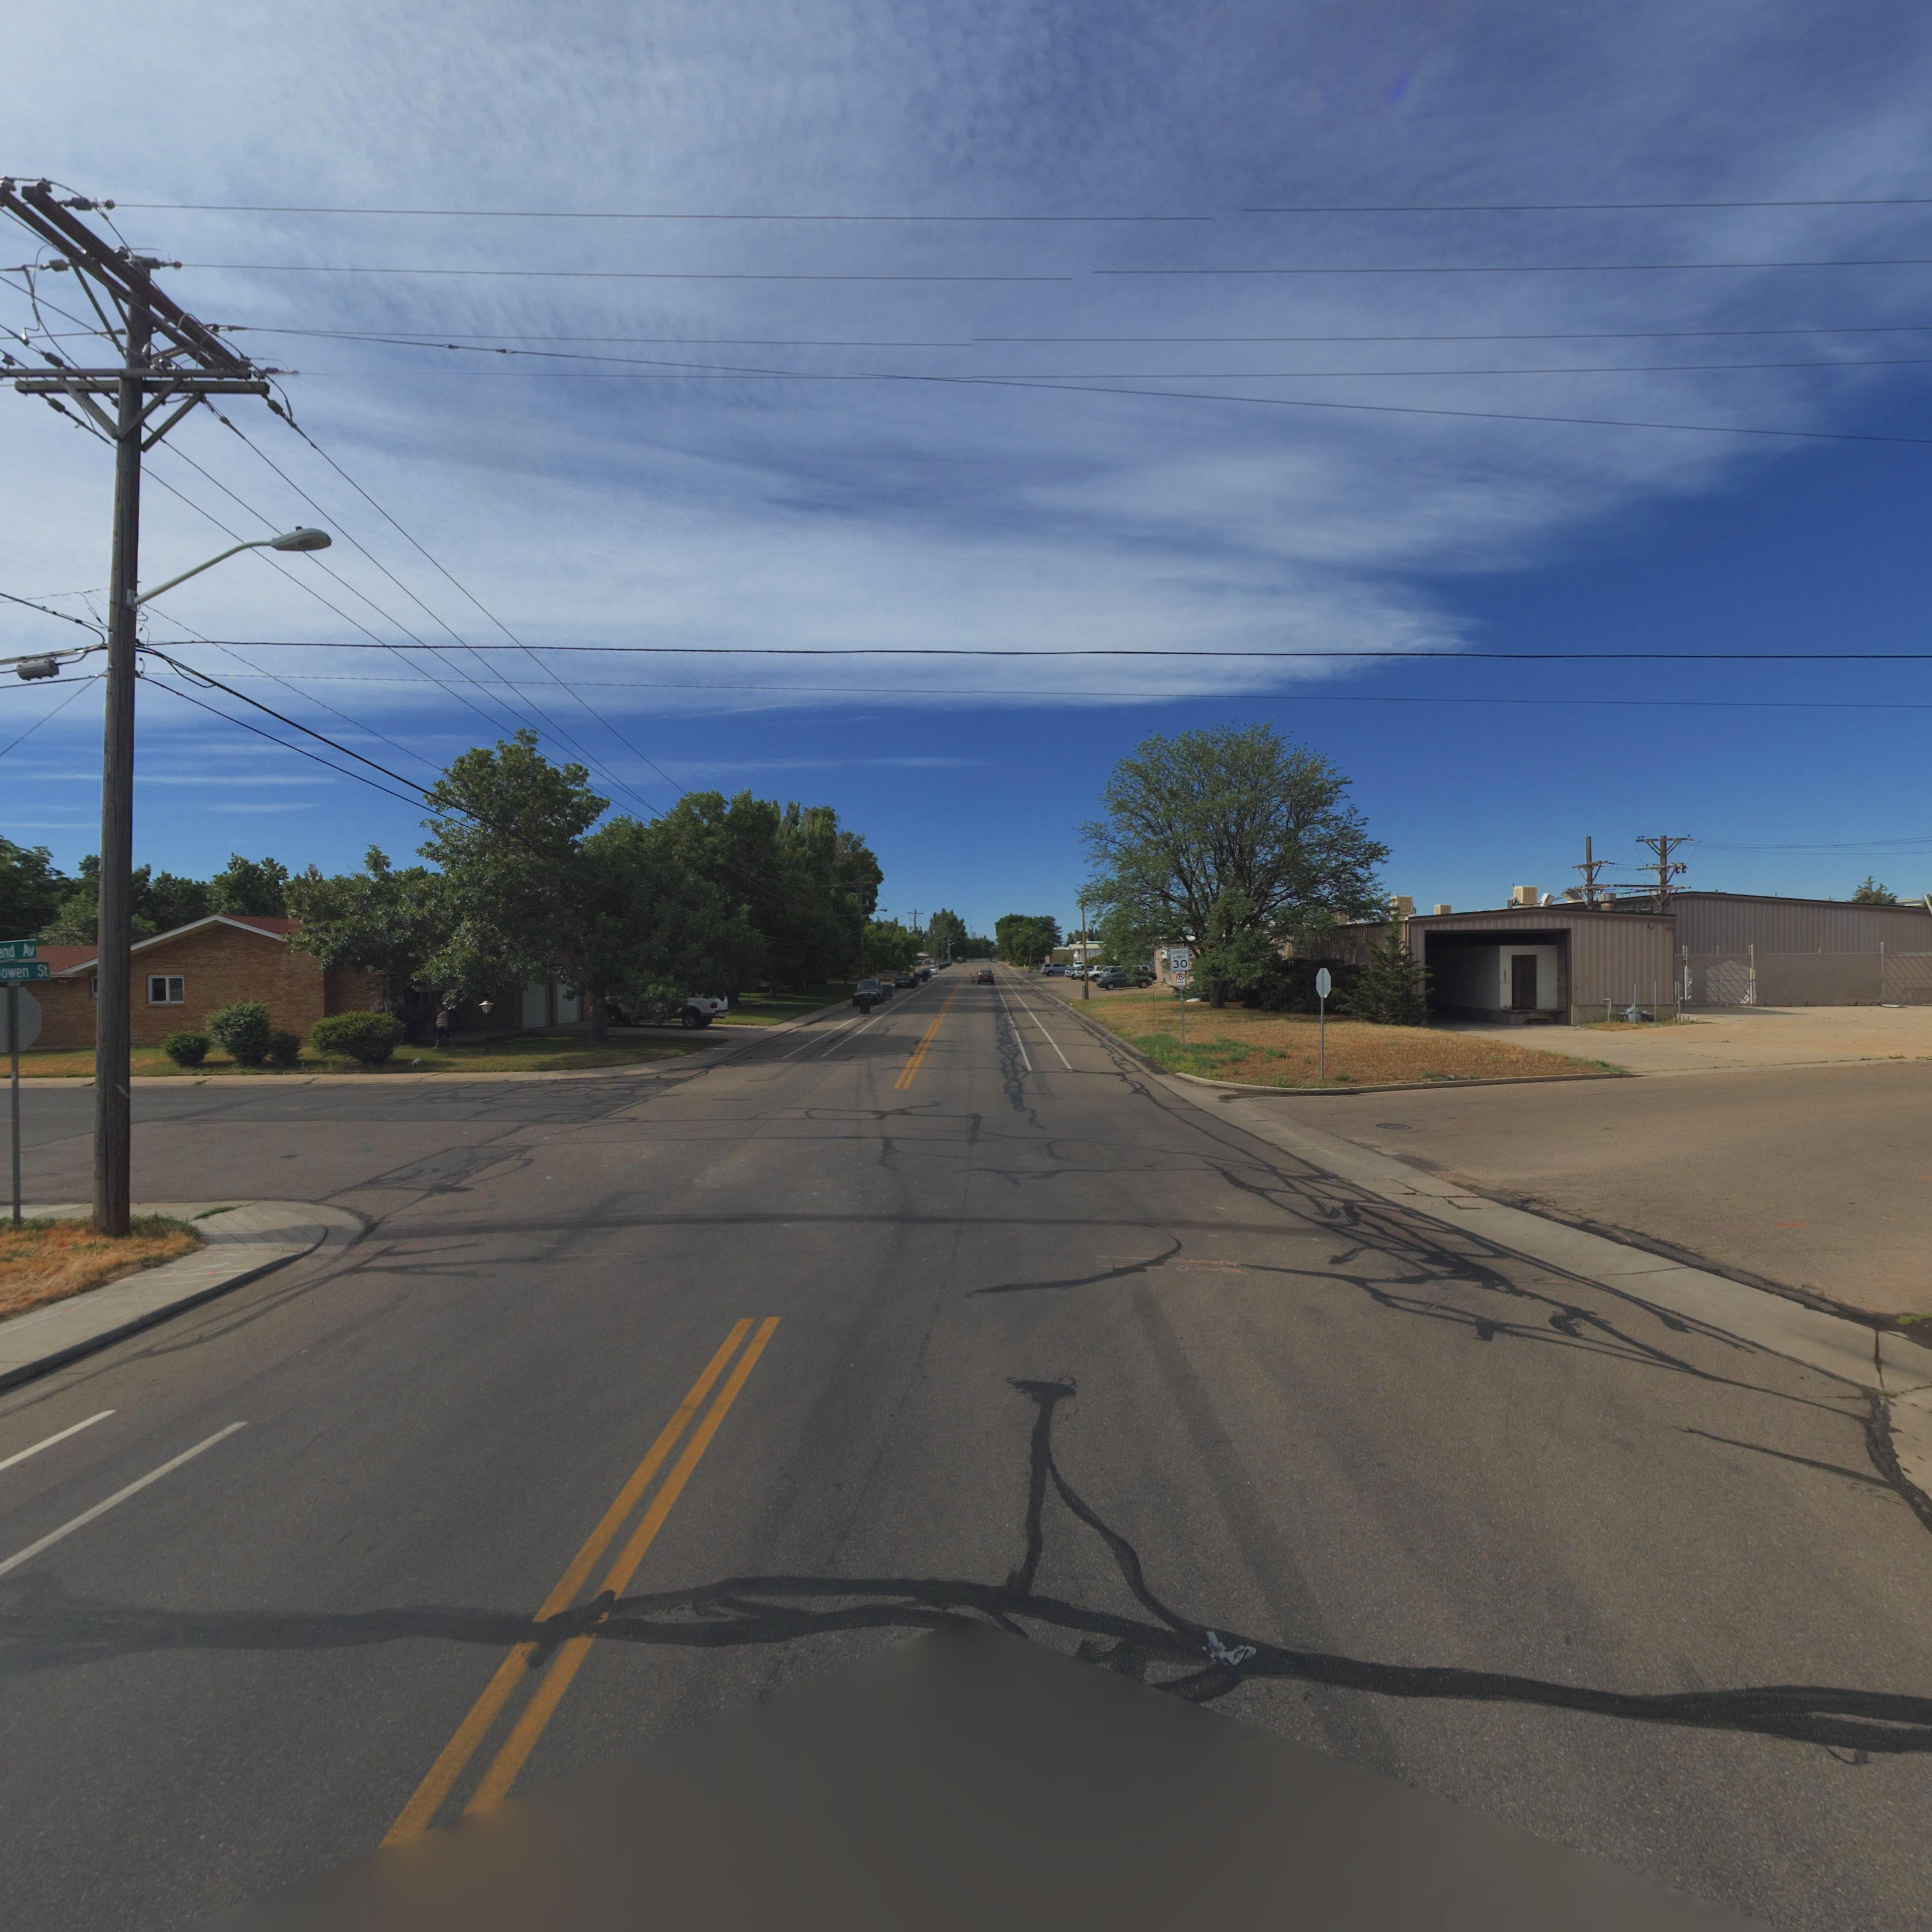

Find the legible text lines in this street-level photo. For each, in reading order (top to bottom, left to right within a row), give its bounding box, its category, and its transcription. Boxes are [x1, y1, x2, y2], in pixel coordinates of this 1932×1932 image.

[1, 942, 35, 958] StreetName: nd Av
[1, 963, 49, 978] StreetName: owen St